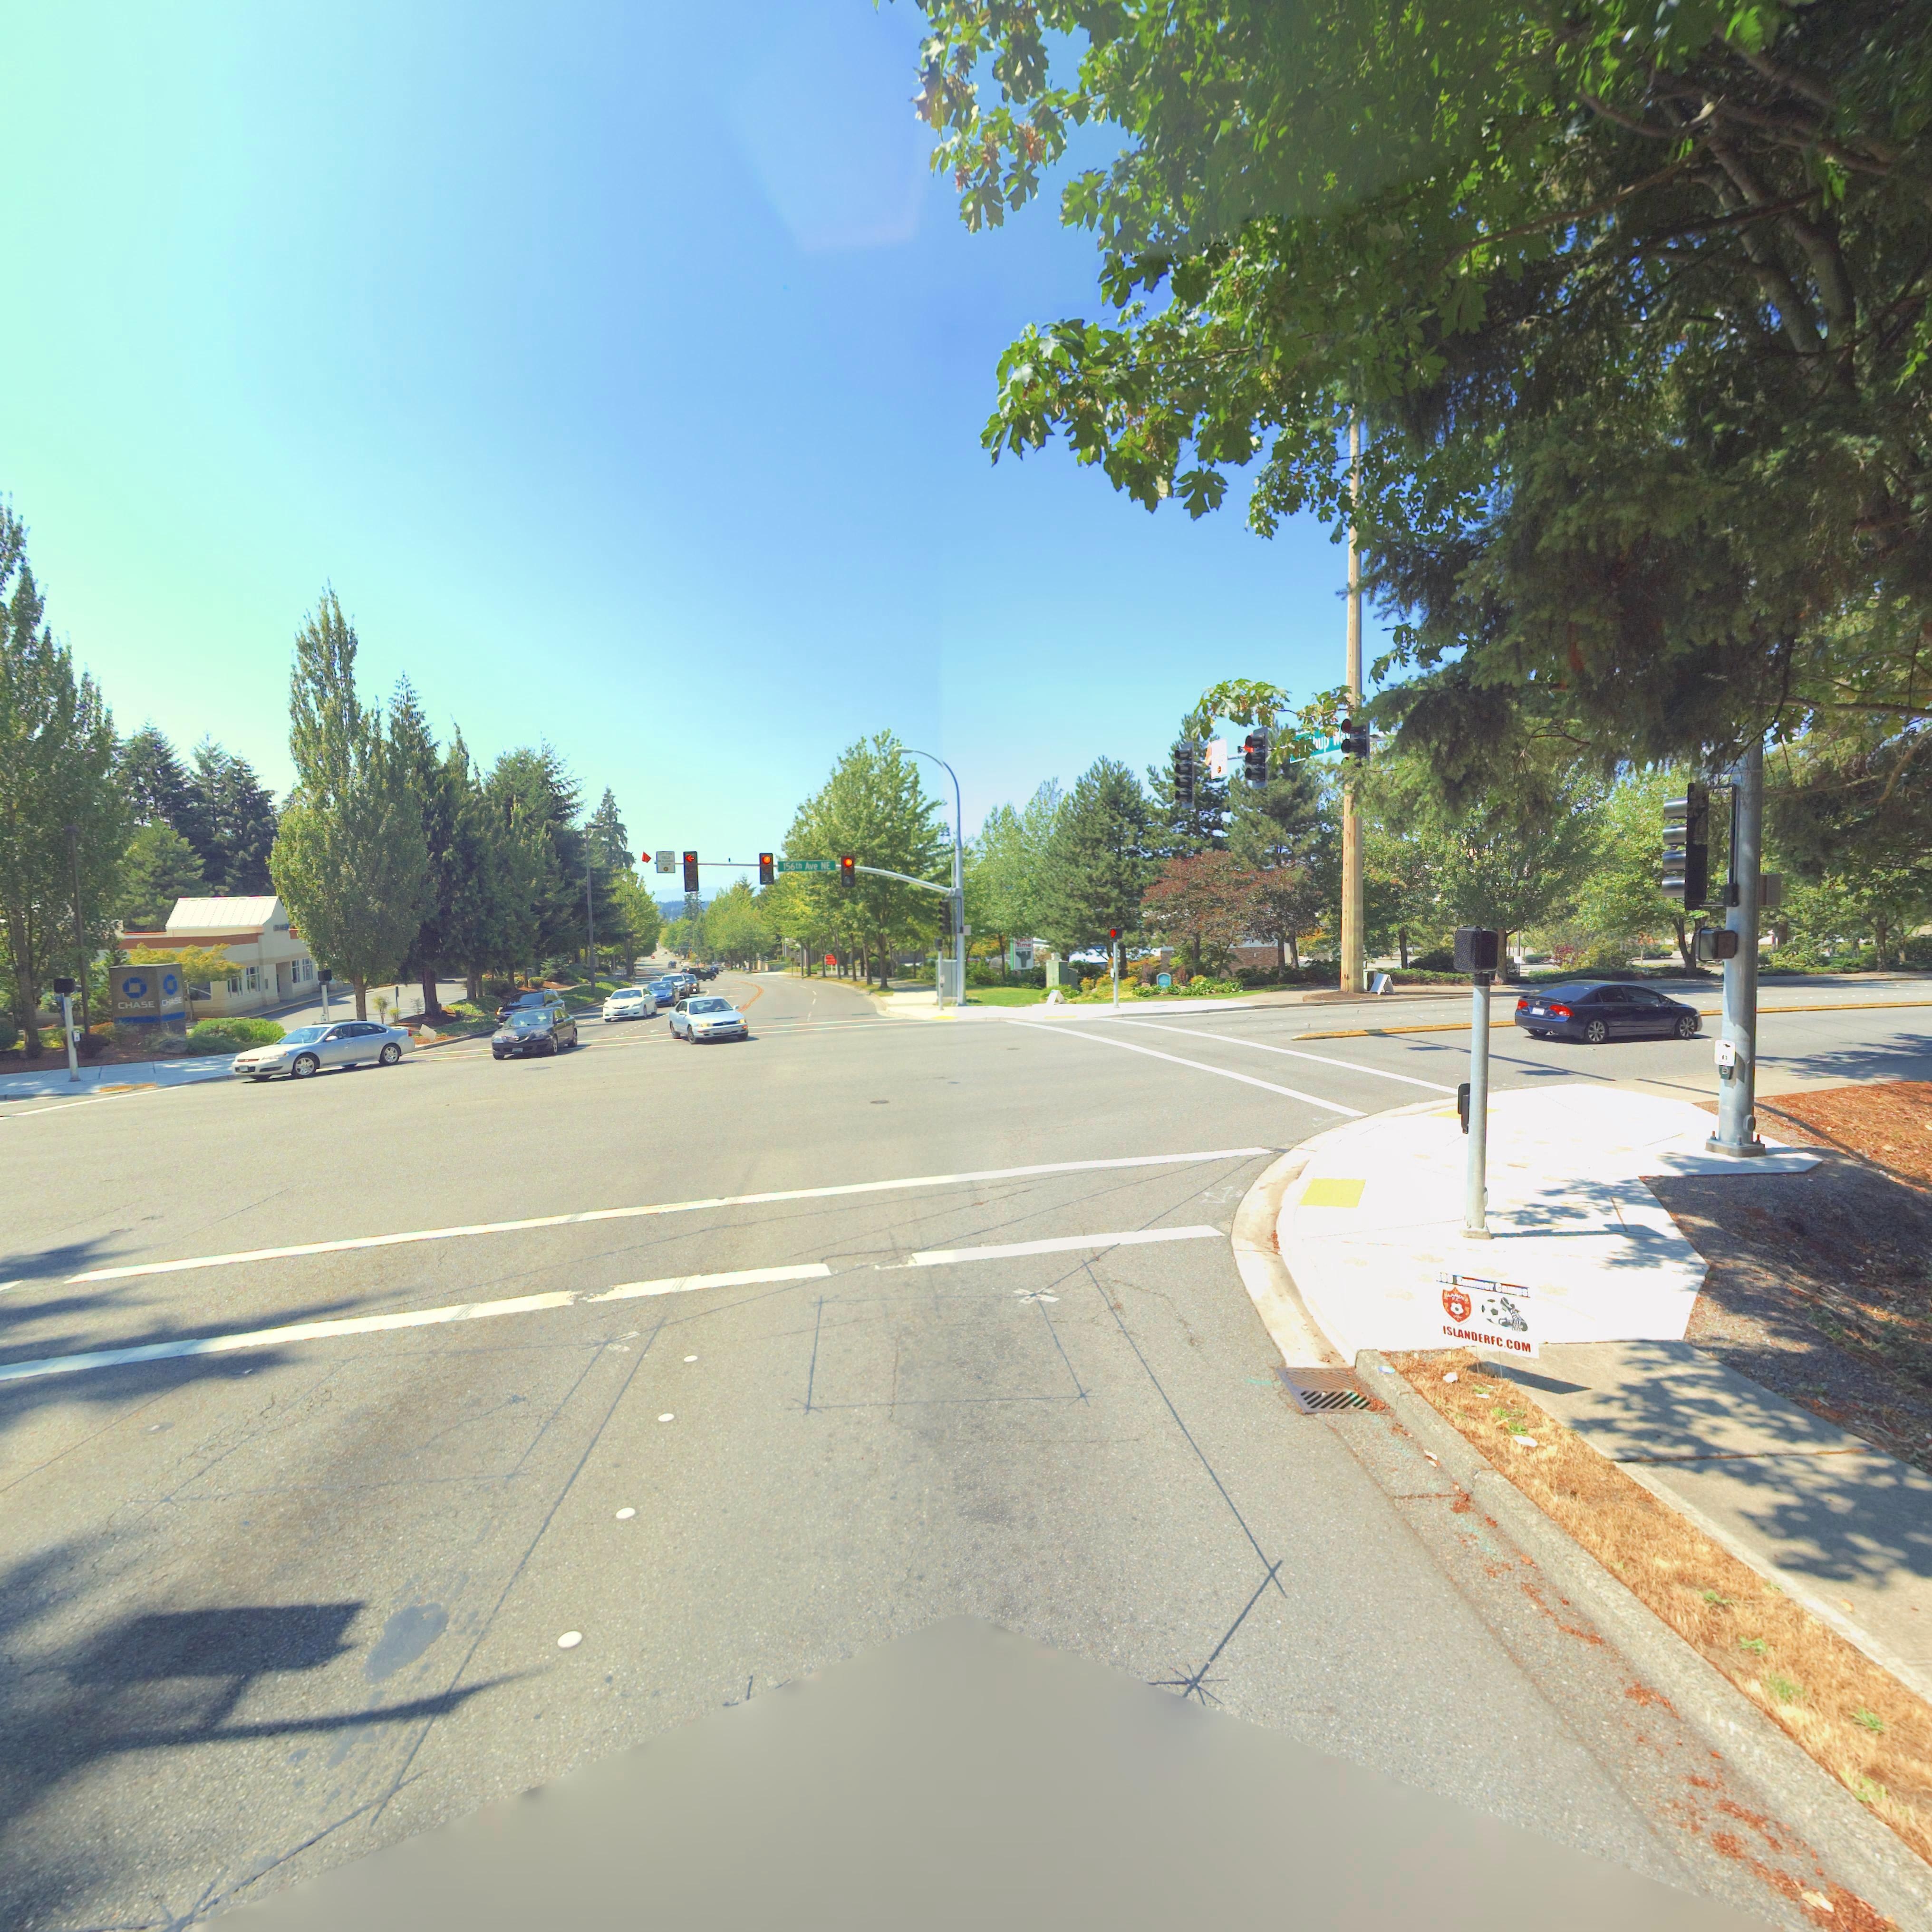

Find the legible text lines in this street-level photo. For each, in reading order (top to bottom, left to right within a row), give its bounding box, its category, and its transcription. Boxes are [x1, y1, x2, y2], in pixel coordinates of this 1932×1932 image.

[783, 861, 832, 870] StreetName: 156th Ave NE
[116, 1000, 156, 1009] BusinessName: CHASE
[162, 995, 183, 1006] BusinessName: CHASE